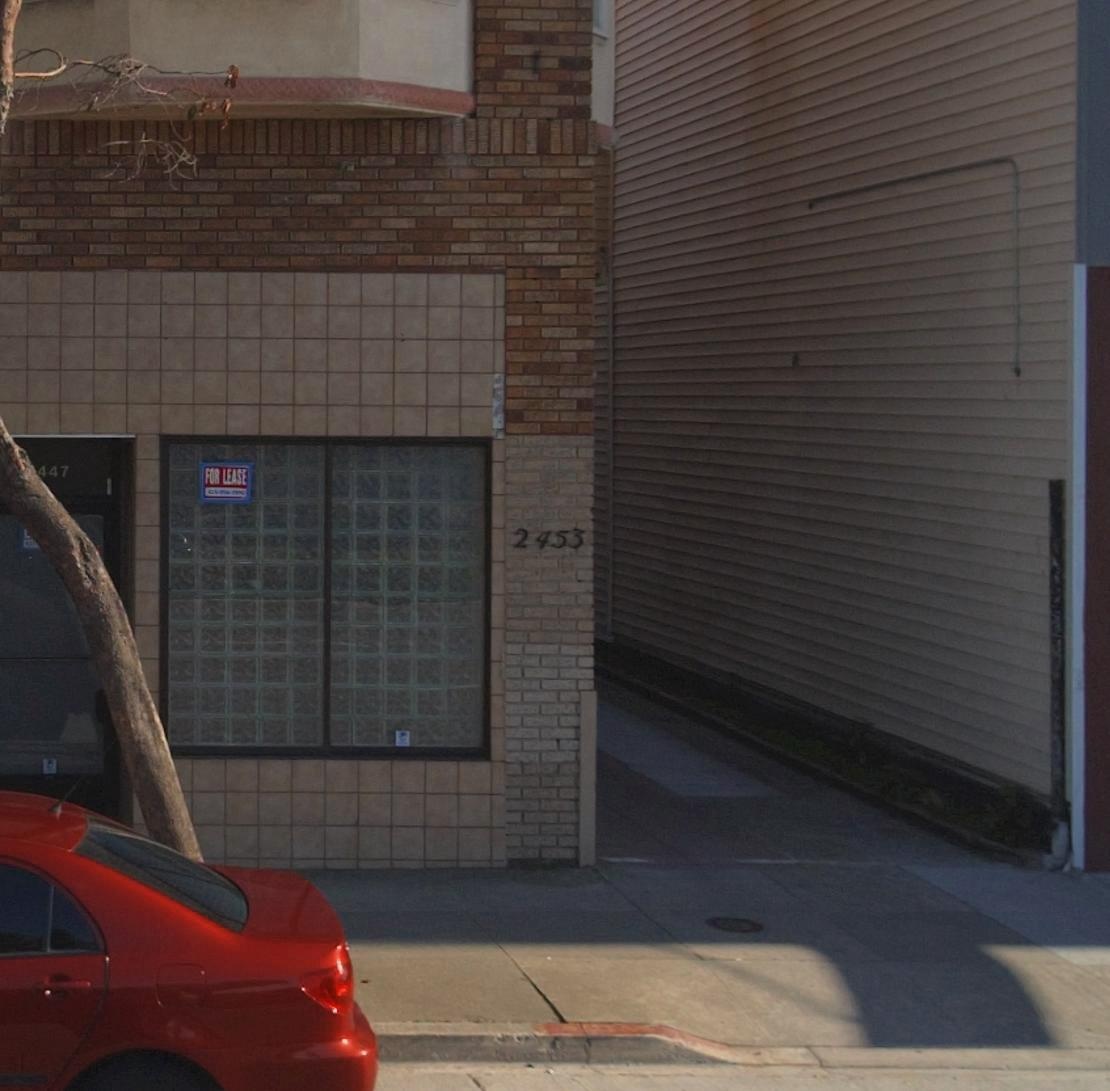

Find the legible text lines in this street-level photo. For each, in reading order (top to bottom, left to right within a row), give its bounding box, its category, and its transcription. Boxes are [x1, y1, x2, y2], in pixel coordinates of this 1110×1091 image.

[36, 465, 70, 479] StreetNumber: 447
[204, 467, 248, 486] None: FOR LEASE
[513, 527, 585, 550] StreetNumber: 2453